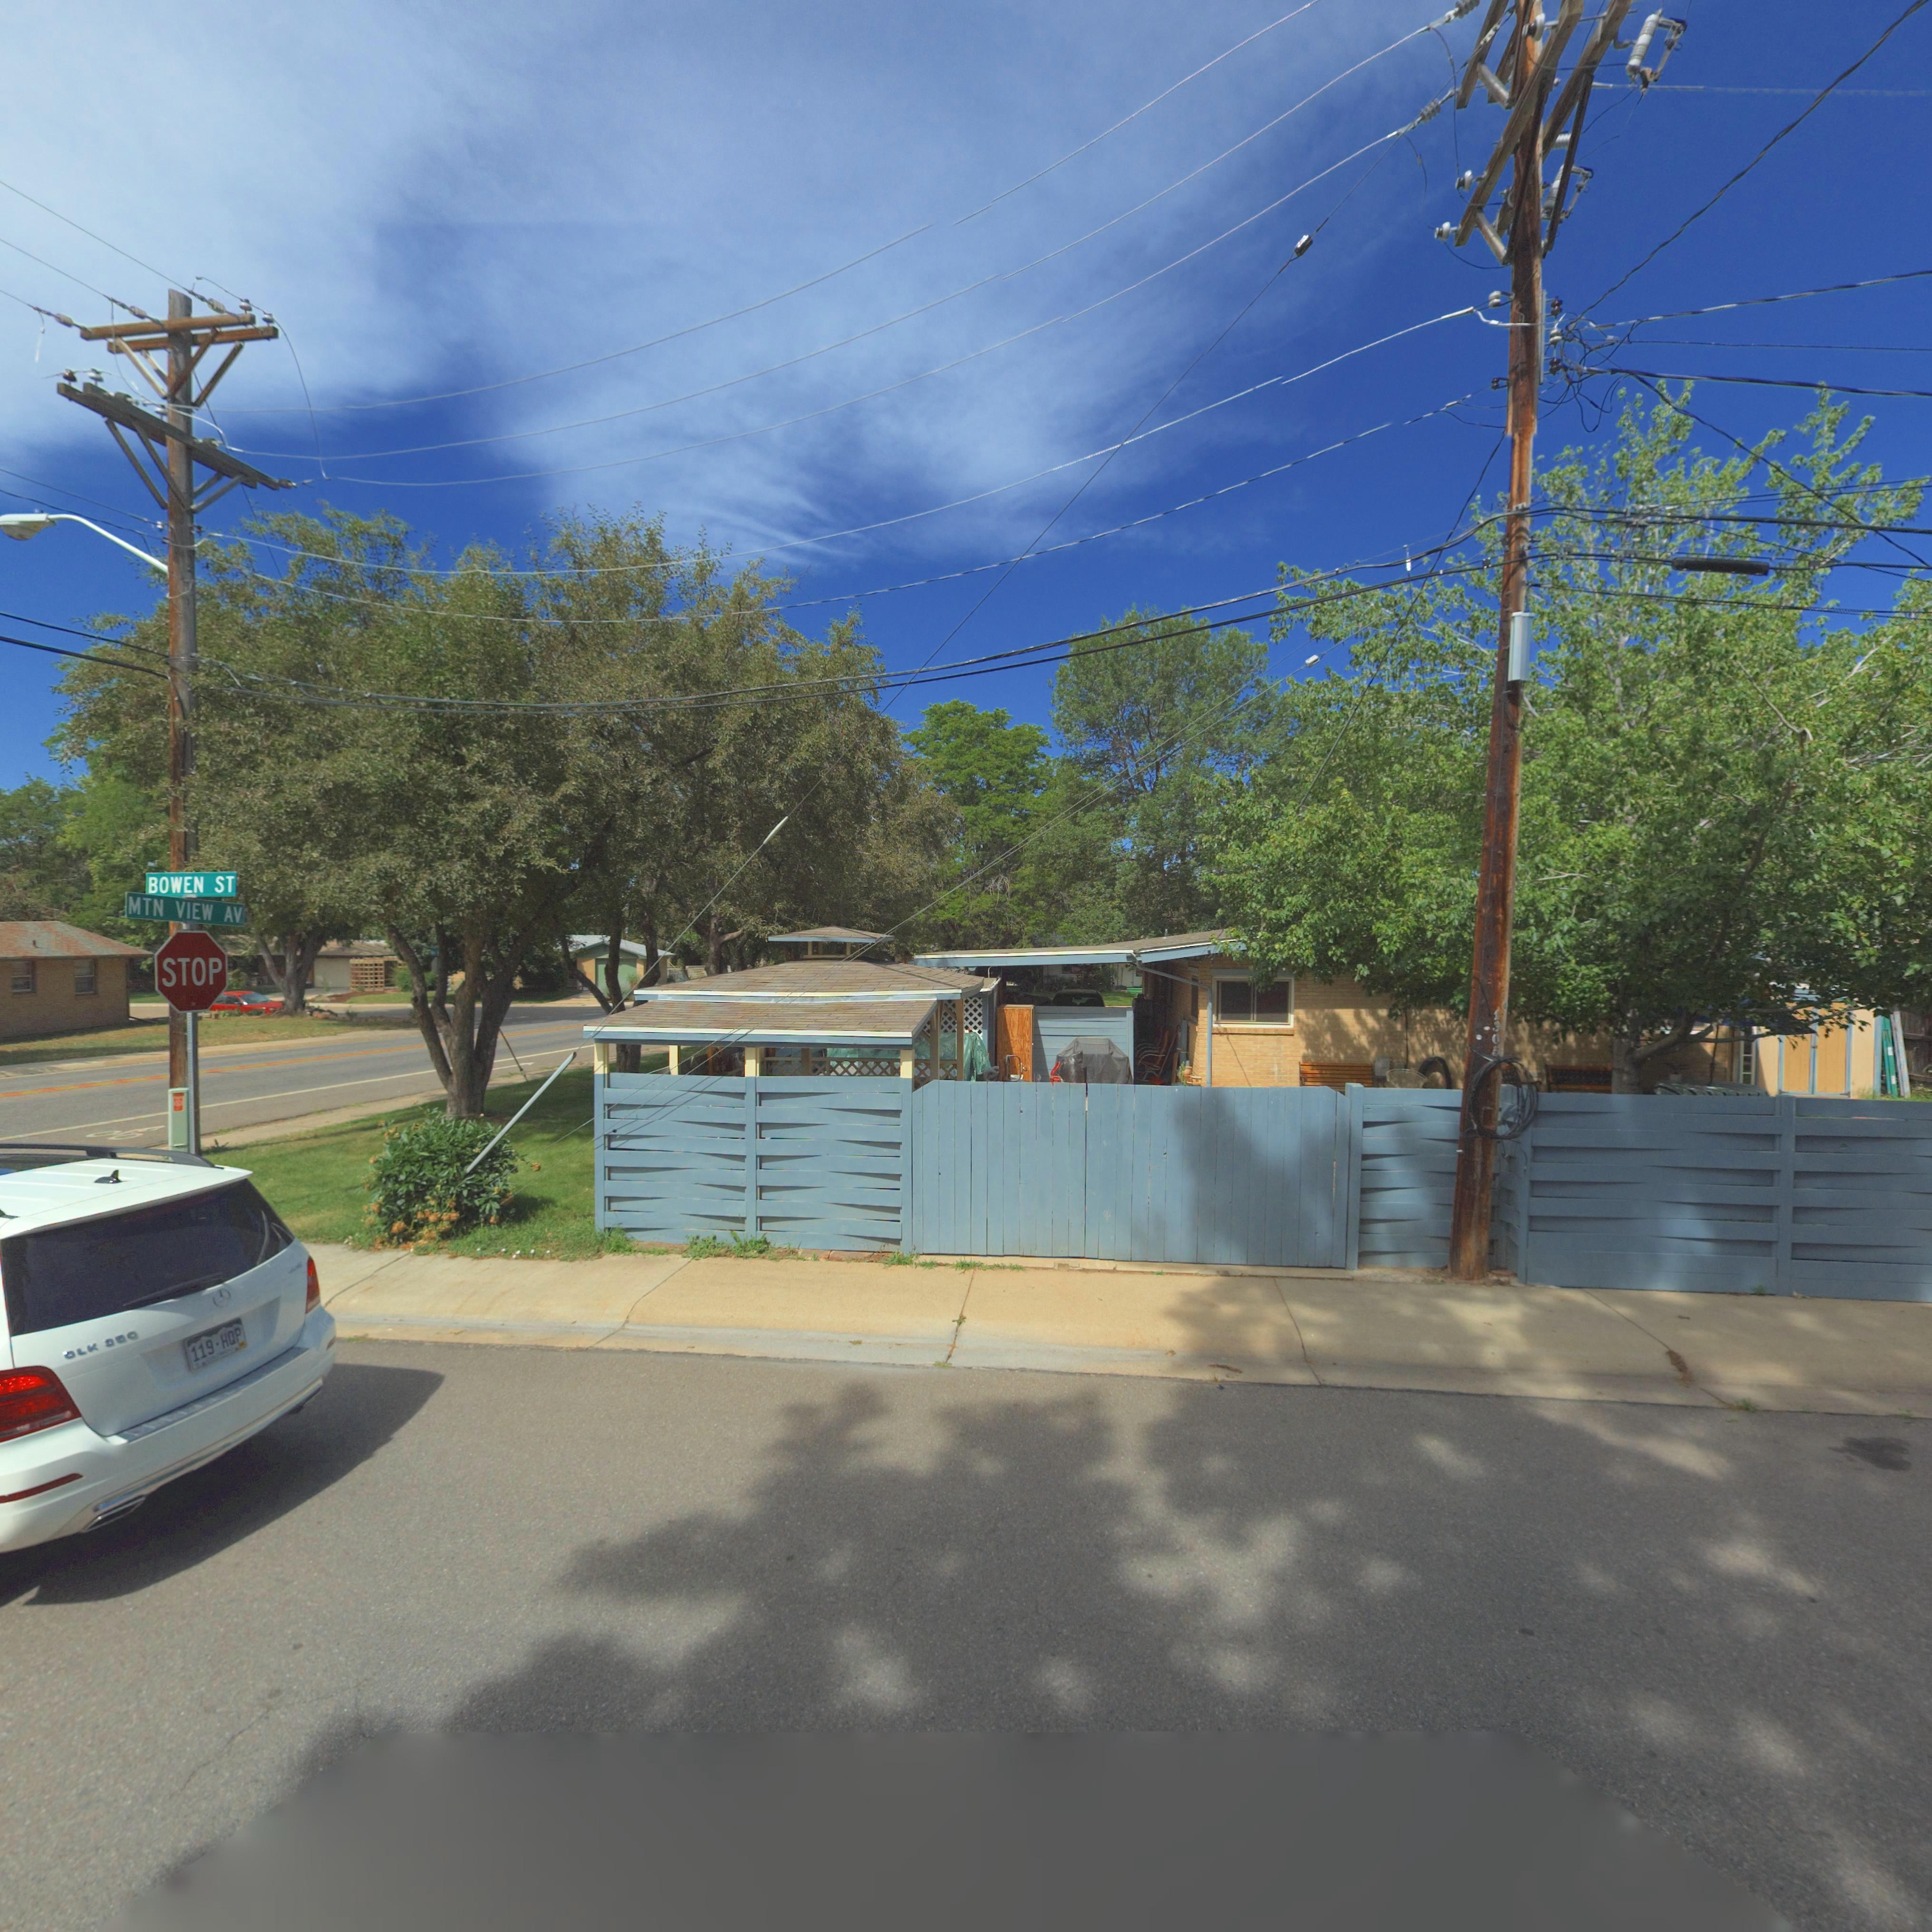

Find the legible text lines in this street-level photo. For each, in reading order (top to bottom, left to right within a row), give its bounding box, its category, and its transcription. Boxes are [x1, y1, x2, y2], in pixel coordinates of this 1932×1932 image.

[148, 876, 235, 893] StreetName: BOWEN ST
[128, 896, 242, 923] StreetName: MTN VIEW AV